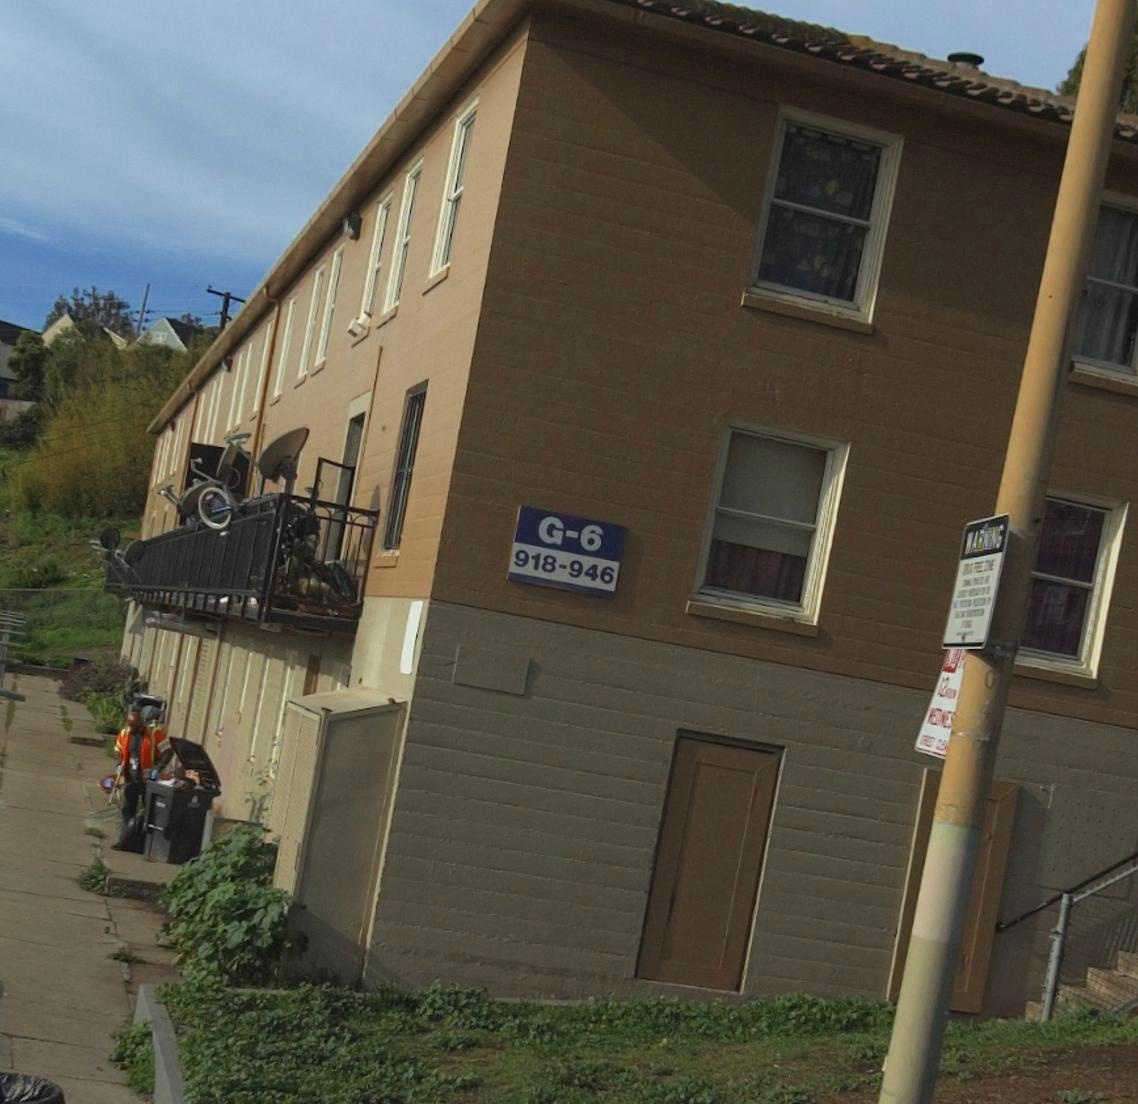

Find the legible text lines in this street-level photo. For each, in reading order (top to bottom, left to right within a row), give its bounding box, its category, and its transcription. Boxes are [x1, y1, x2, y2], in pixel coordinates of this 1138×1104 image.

[536, 513, 606, 554] None: G-6
[961, 517, 1006, 555] None: WARNING
[511, 546, 560, 576] StreetNumber: 918
[567, 557, 617, 587] StreetNumber: 946